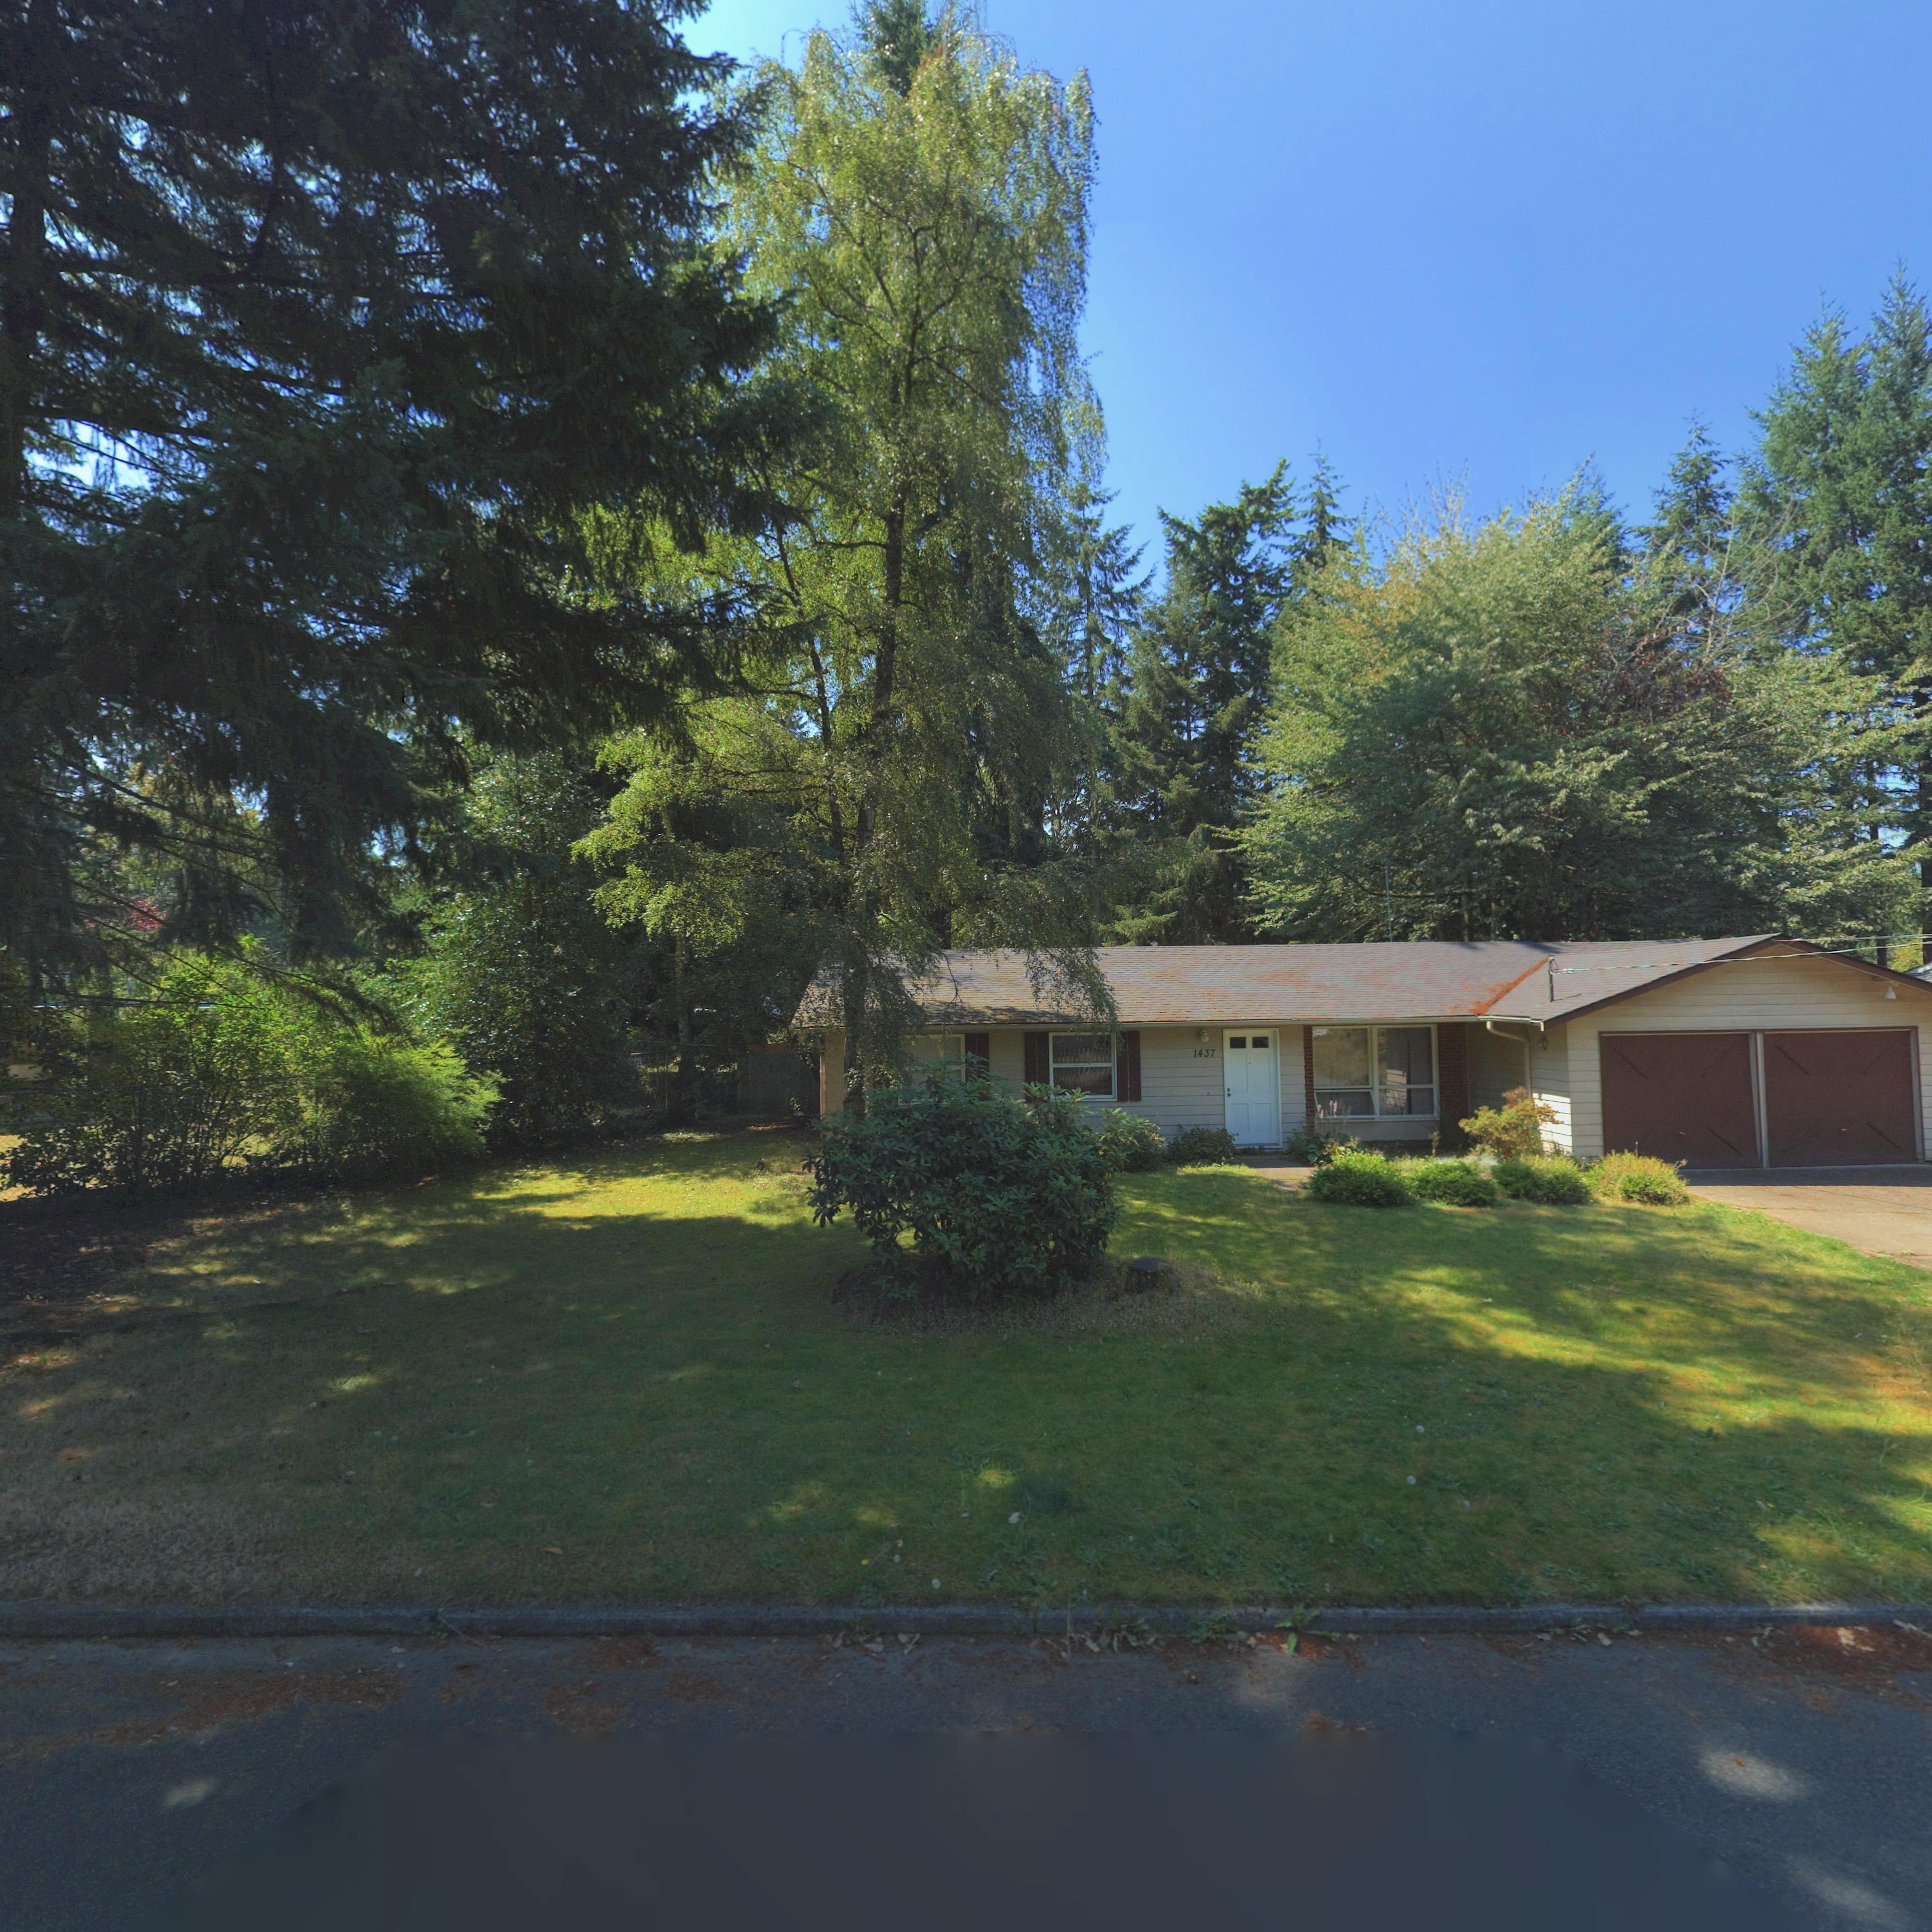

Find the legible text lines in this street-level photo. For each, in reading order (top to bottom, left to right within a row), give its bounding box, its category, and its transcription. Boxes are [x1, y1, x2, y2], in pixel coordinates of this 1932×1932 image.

[1193, 1049, 1216, 1058] StreetNumber: 1437